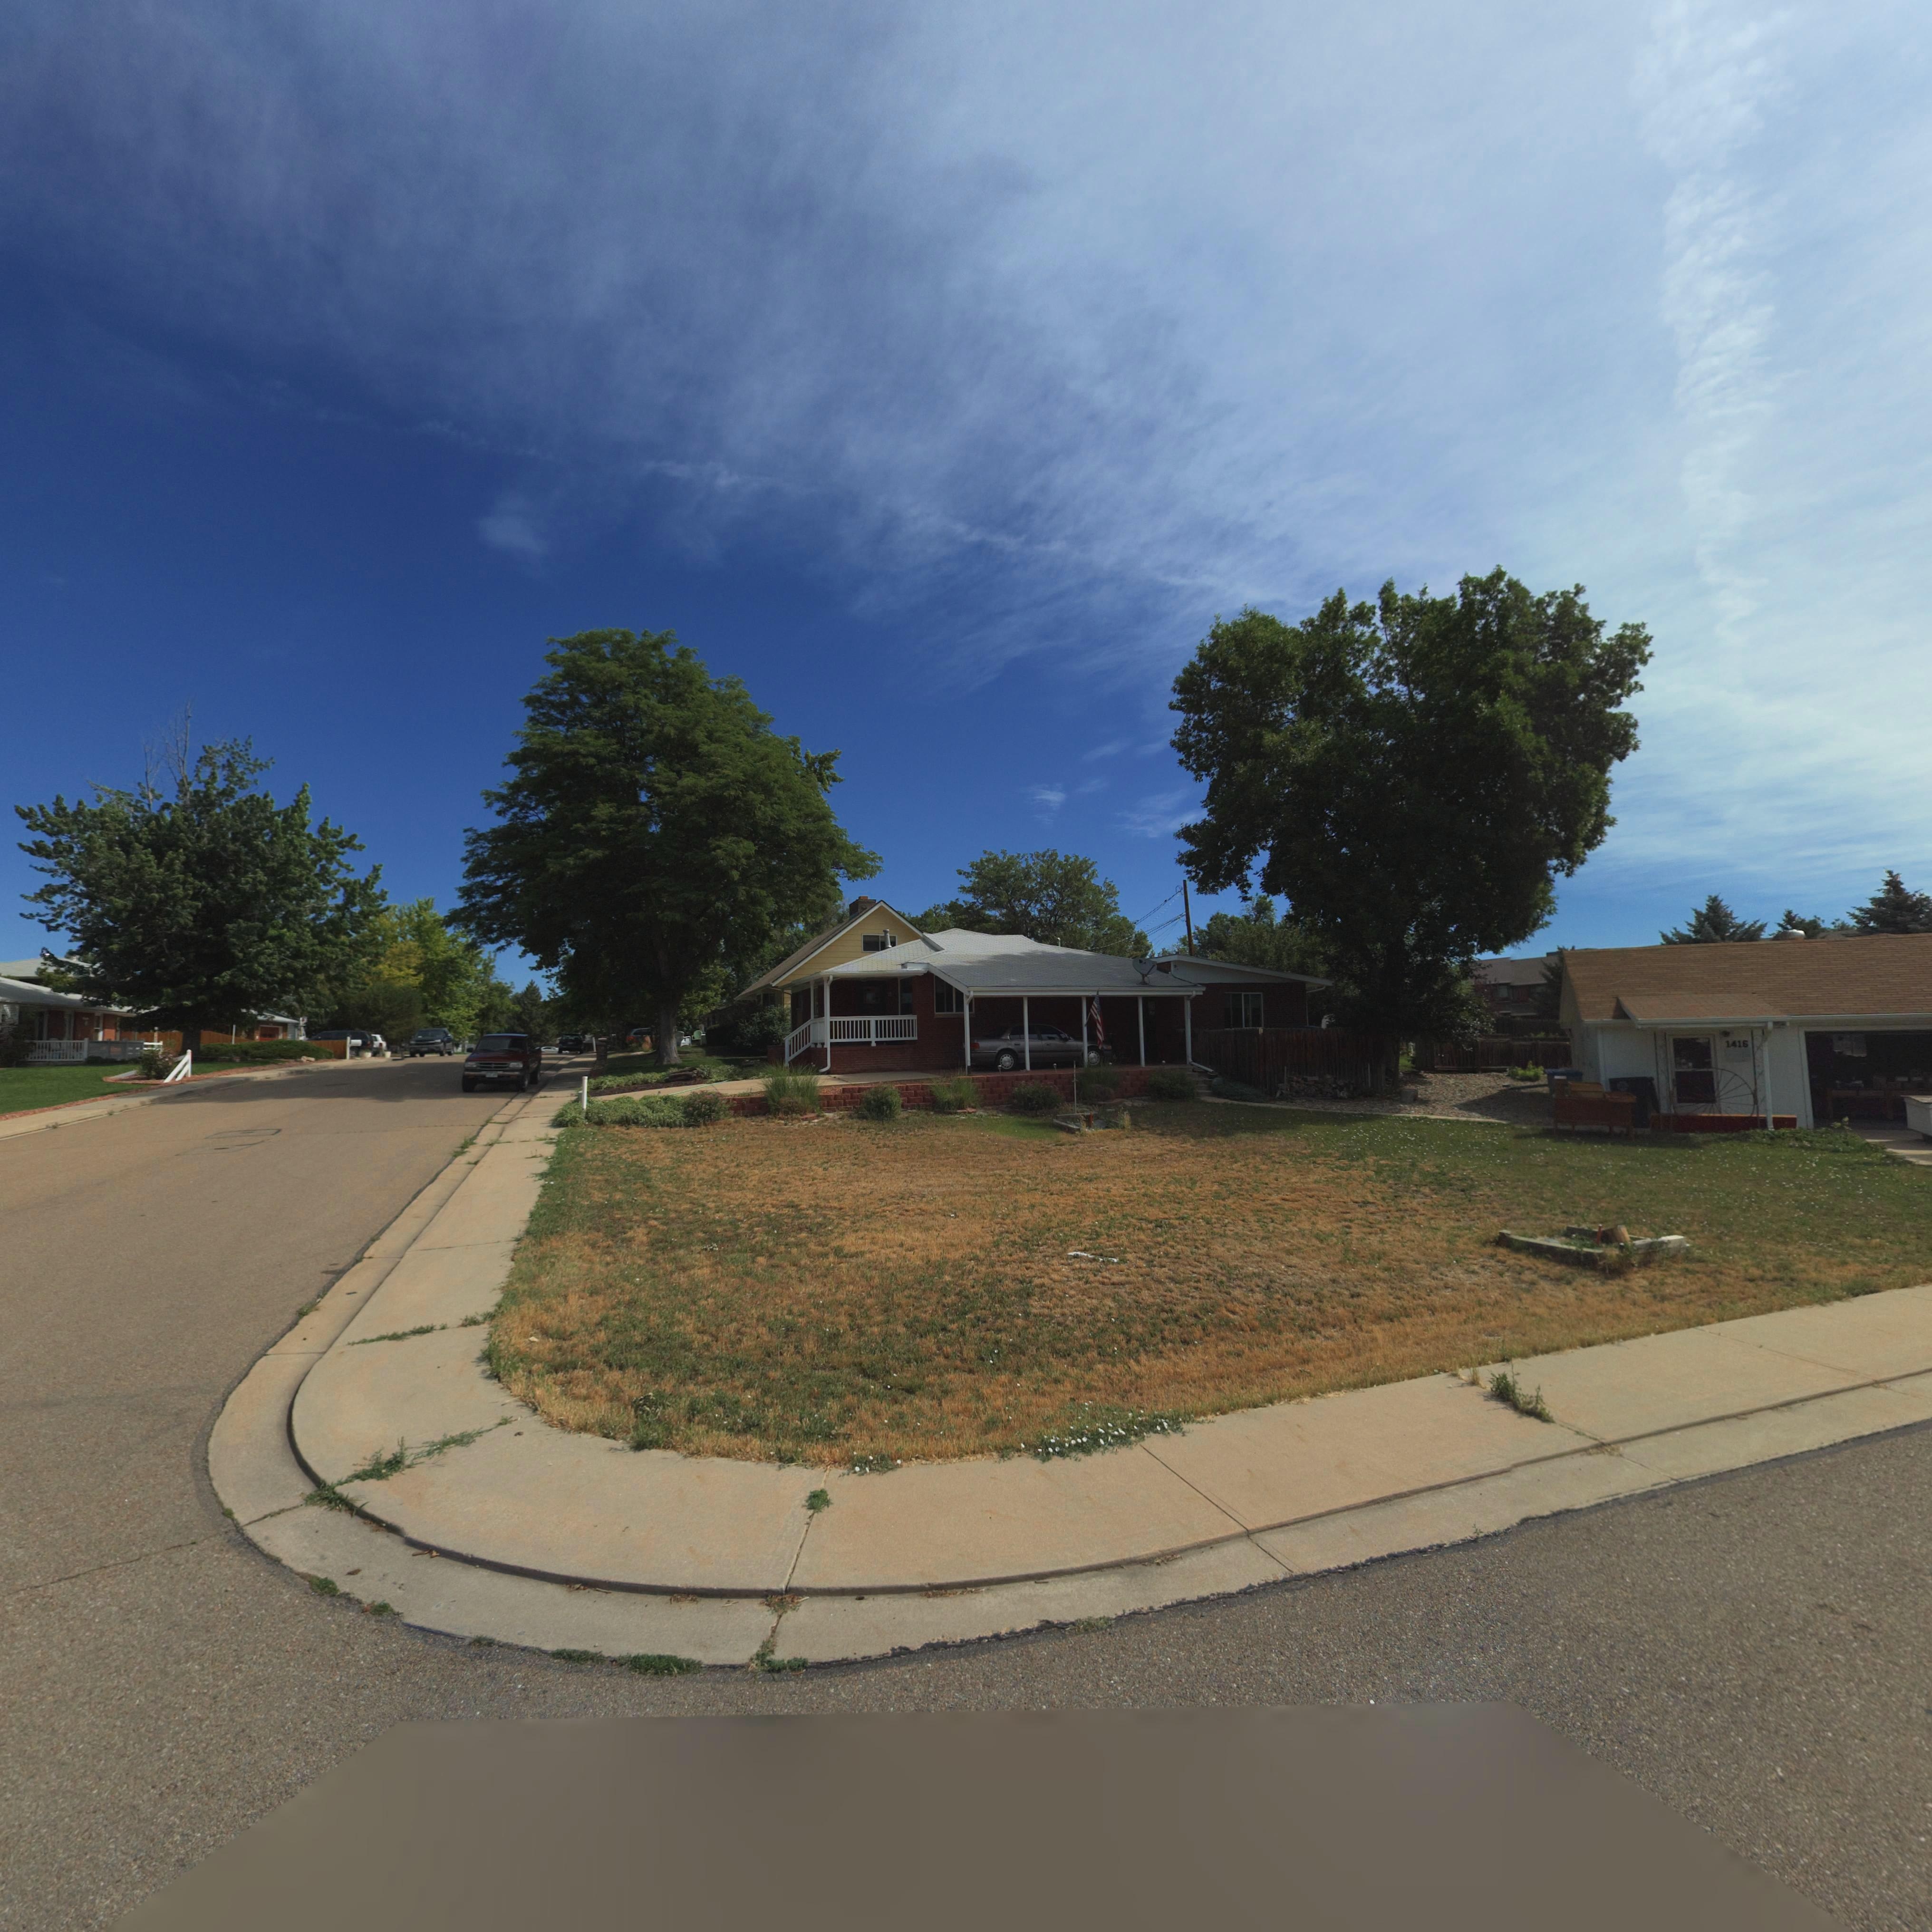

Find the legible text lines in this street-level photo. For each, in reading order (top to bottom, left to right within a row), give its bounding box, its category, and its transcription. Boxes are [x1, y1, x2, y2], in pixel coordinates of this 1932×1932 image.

[1725, 1039, 1748, 1048] StreetNumber: 1416